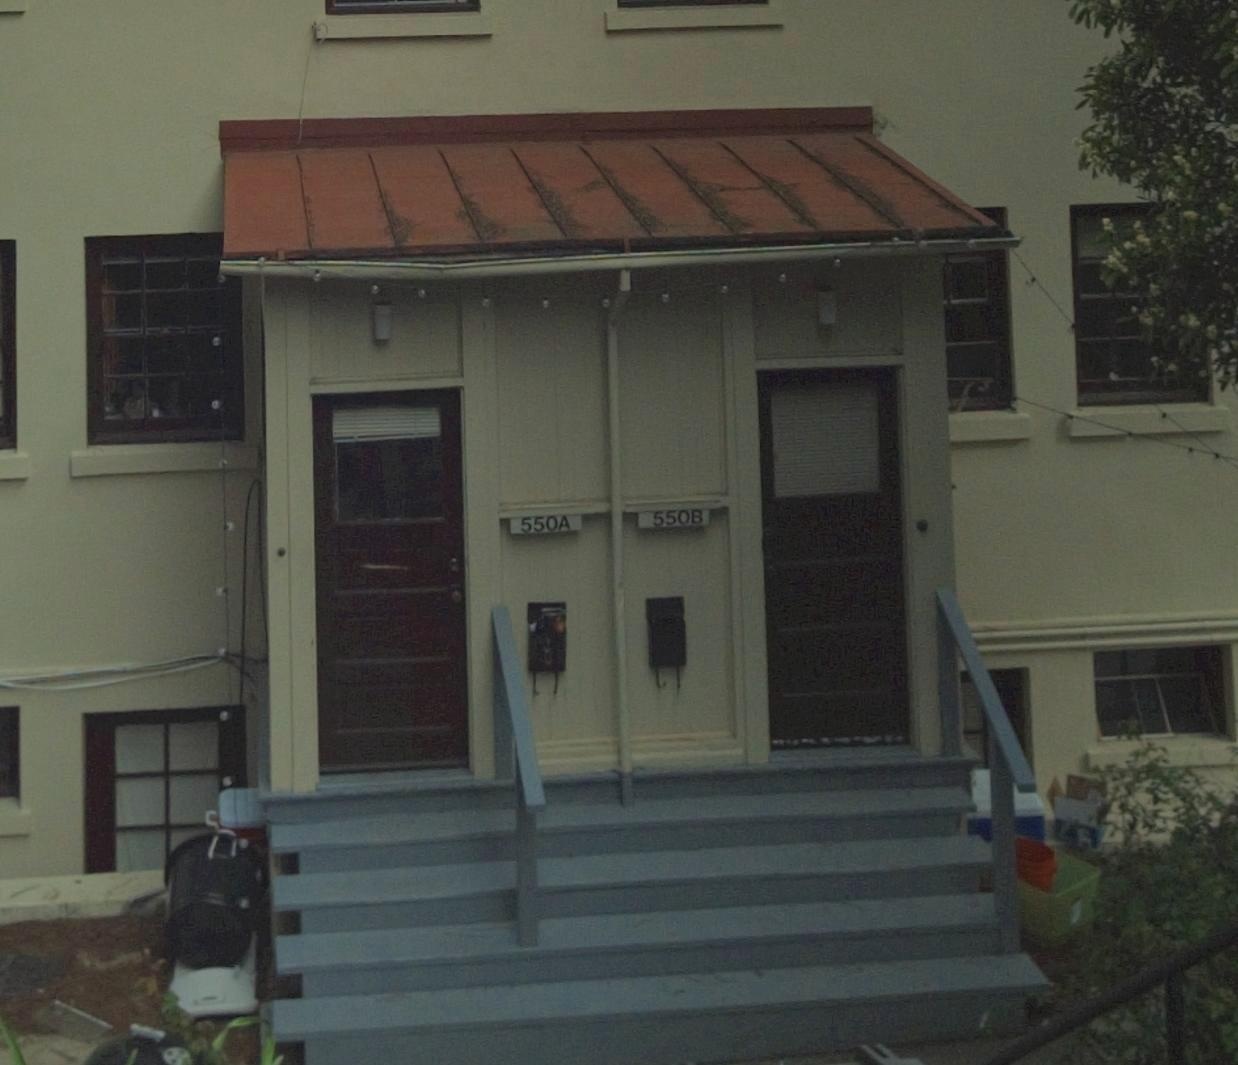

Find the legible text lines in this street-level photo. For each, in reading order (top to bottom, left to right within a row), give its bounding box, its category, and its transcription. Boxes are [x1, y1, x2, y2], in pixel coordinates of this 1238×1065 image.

[521, 513, 573, 535] StreetNumber: 550A
[652, 507, 705, 528] StreetNumber: 550B